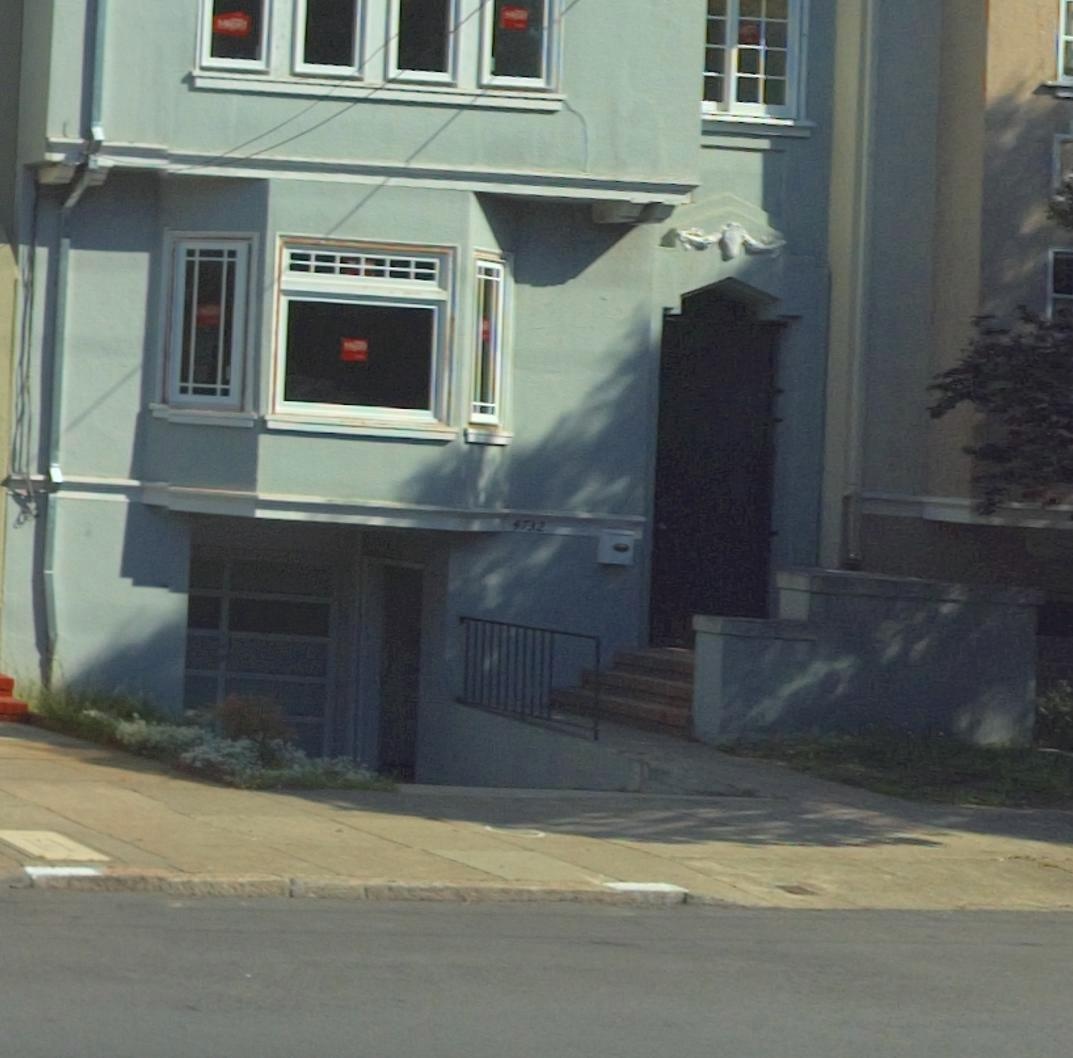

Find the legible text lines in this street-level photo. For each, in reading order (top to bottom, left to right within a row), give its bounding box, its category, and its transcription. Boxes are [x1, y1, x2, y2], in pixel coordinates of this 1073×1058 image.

[509, 517, 548, 532] StreetNumber: 4732